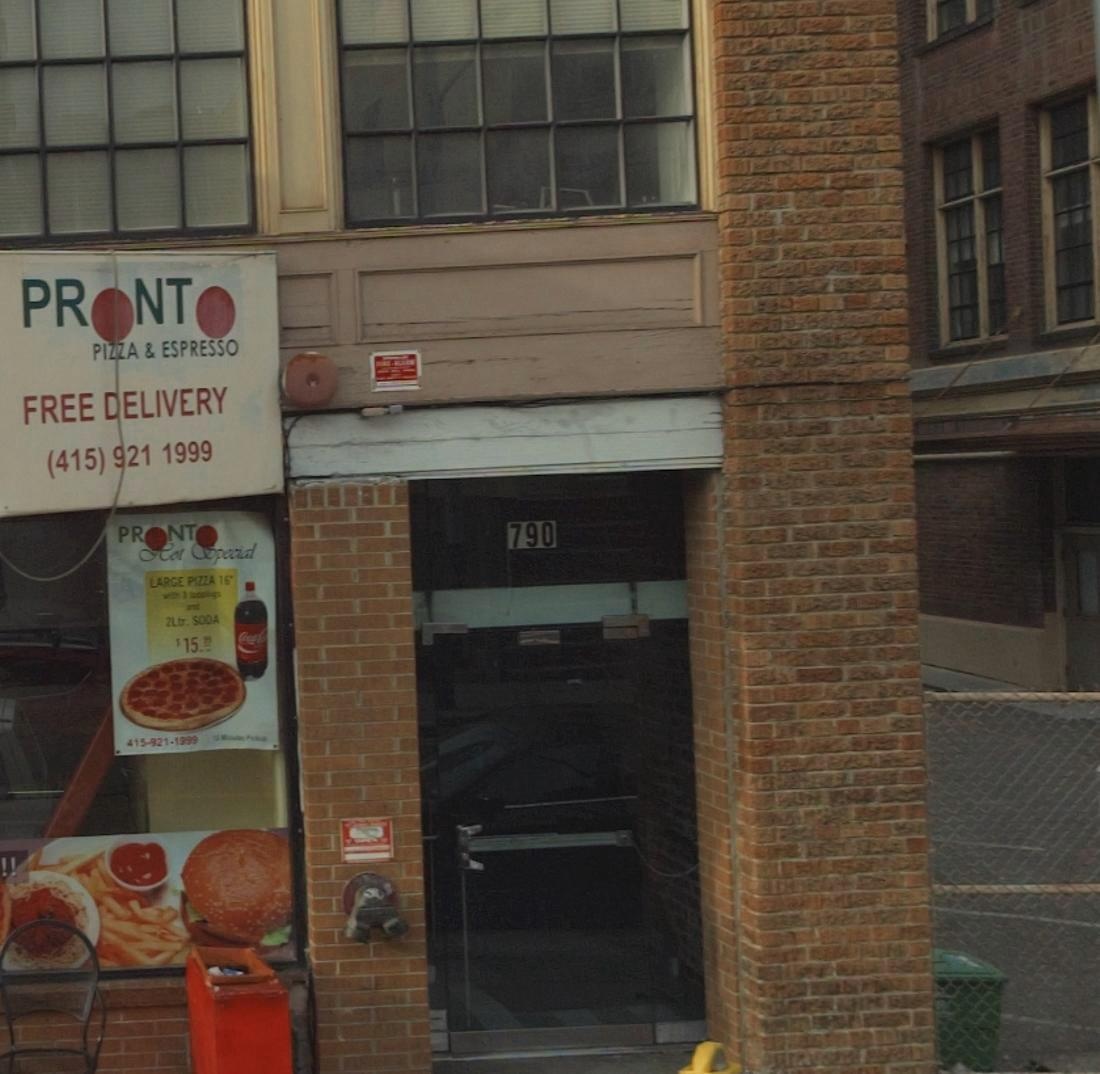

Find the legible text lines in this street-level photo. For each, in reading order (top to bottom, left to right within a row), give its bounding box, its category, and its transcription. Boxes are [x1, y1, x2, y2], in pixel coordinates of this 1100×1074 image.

[21, 277, 238, 343] BusinessName: PR*NT*
[91, 339, 239, 364] BusinessName: PIZZA & ESPRESSO
[22, 385, 230, 427] None: FREE DELIVERY
[46, 438, 213, 482] None: (415) 921 1999
[117, 523, 219, 551] BusinessName: PR*NT*
[507, 521, 557, 549] StreetNumber: 790
[148, 574, 235, 588] None: LARGE PIZZA 16"
[164, 614, 222, 628] None: 2Ltr. SODA
[183, 636, 199, 655] None: 15